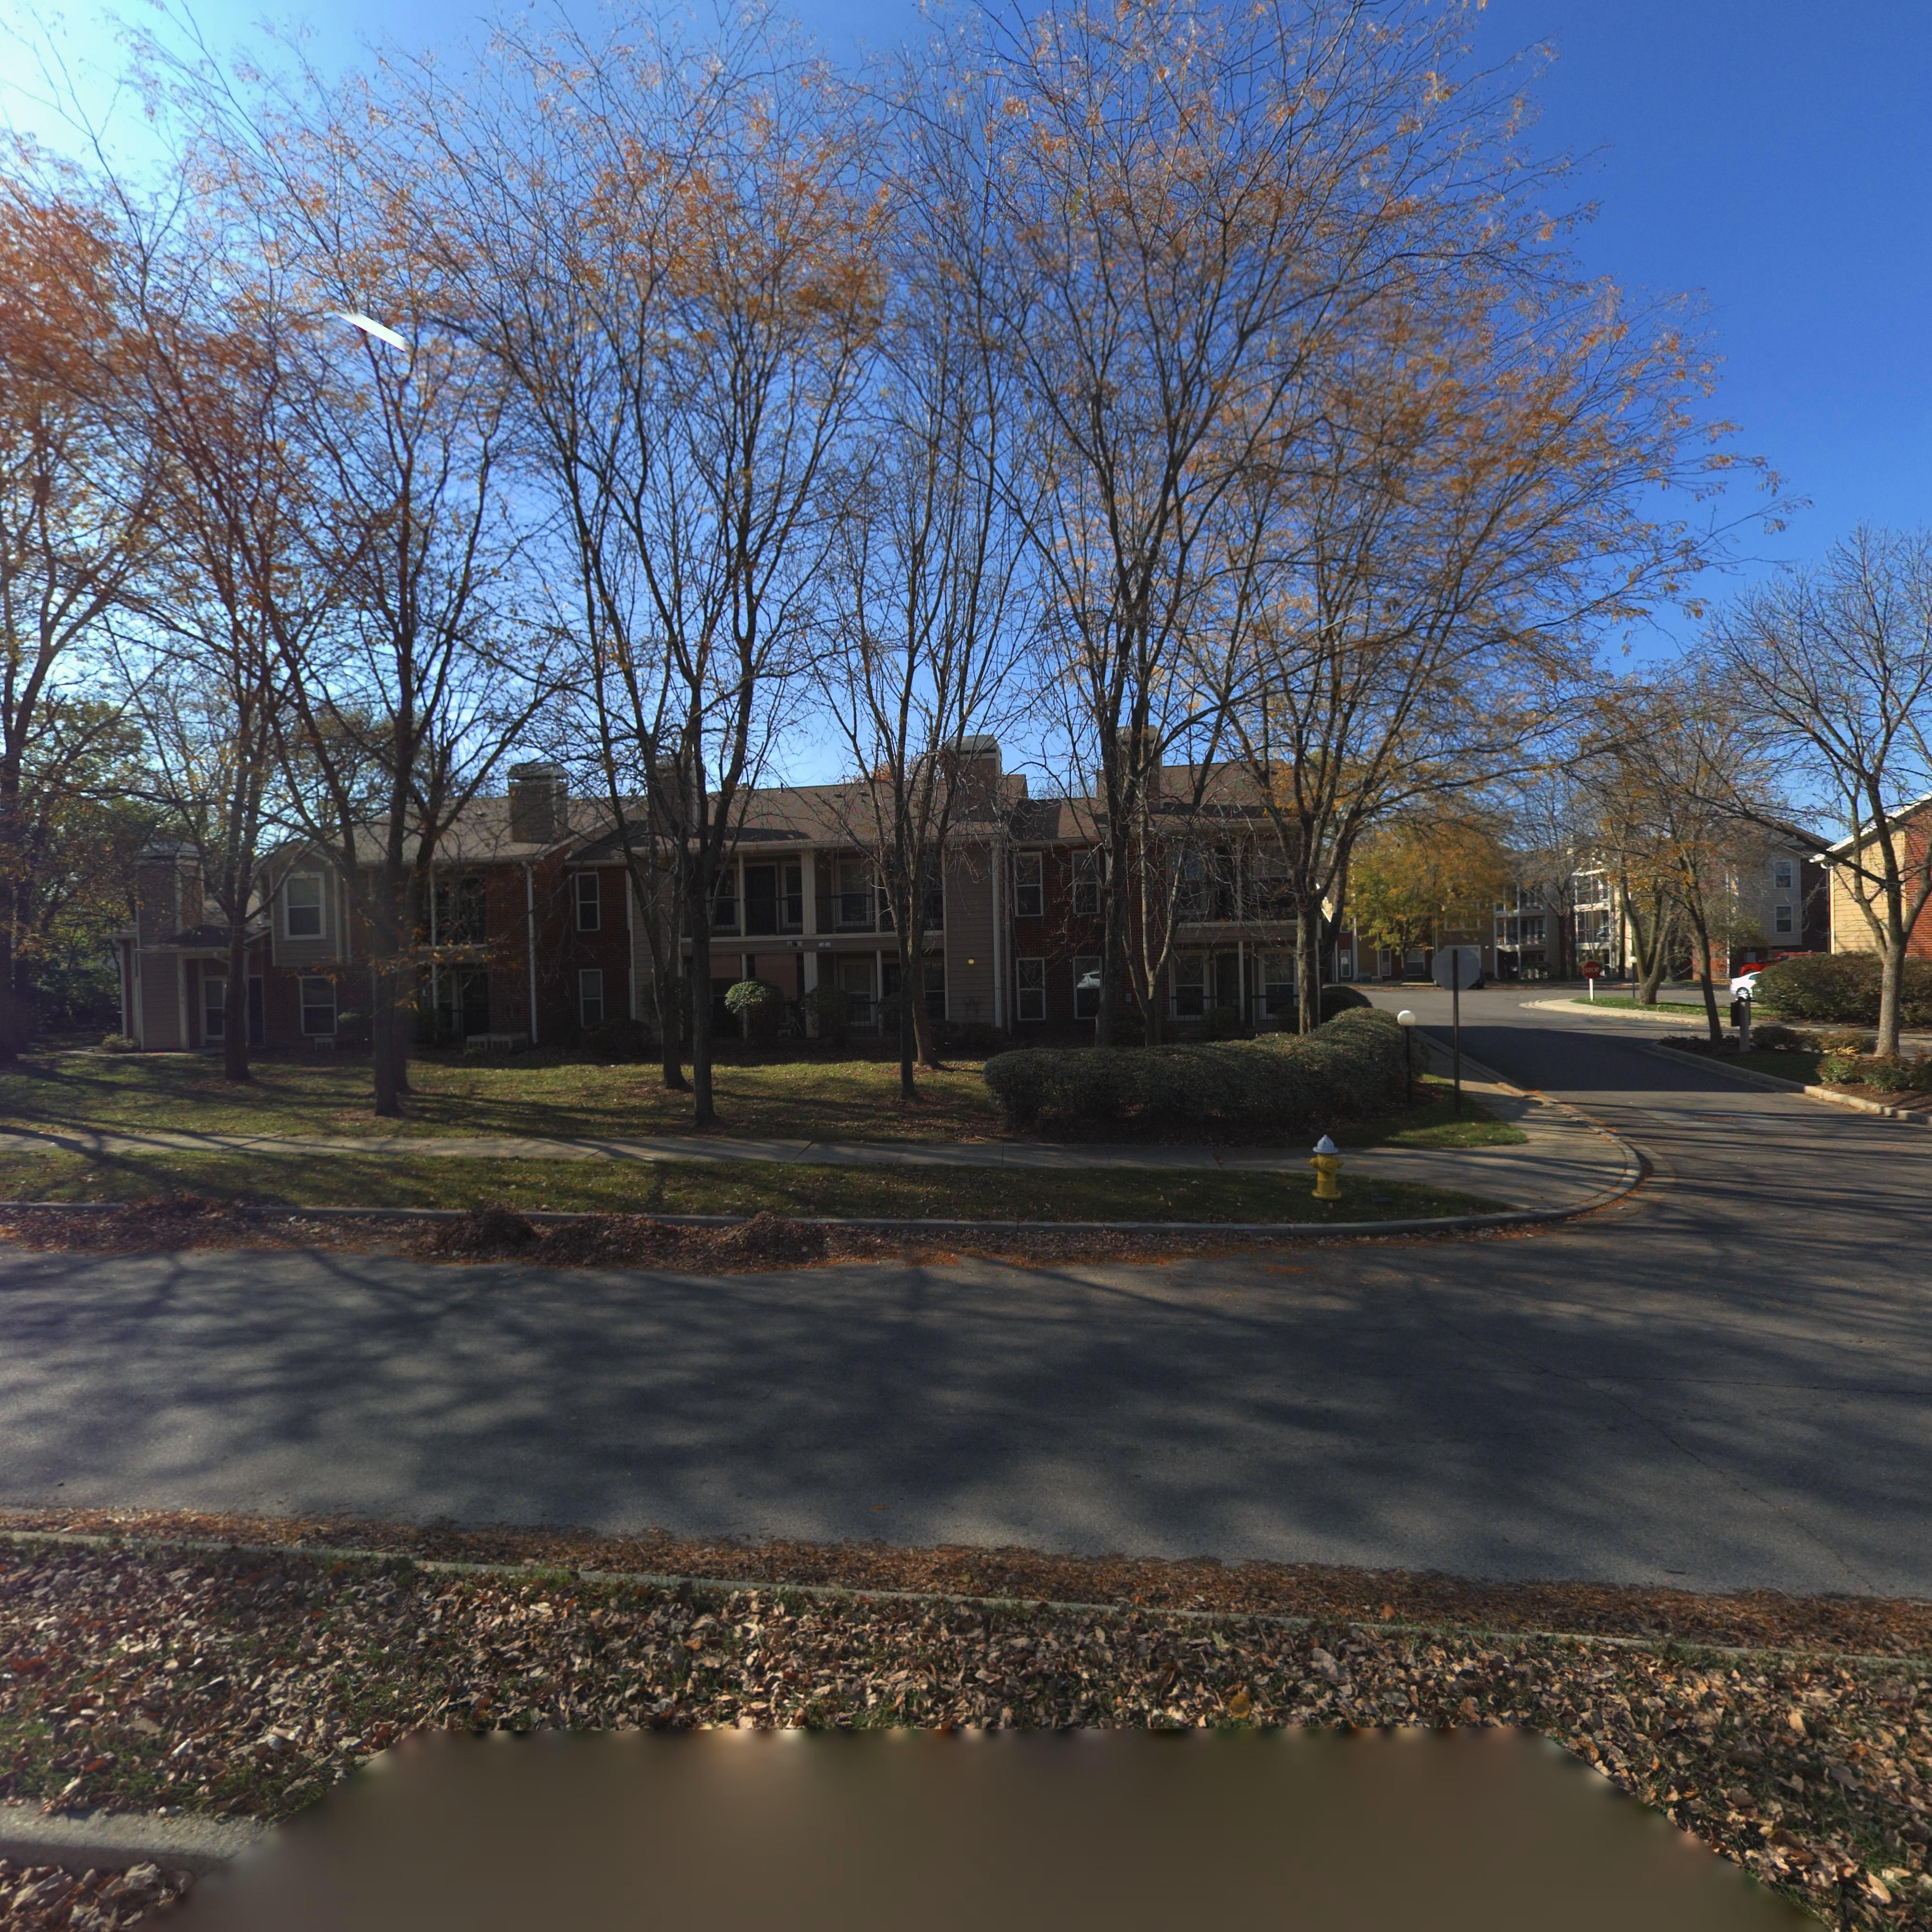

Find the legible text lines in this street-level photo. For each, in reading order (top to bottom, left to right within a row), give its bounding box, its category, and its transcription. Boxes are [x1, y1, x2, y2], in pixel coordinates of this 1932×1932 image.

[1584, 966, 1600, 974] None: STOP